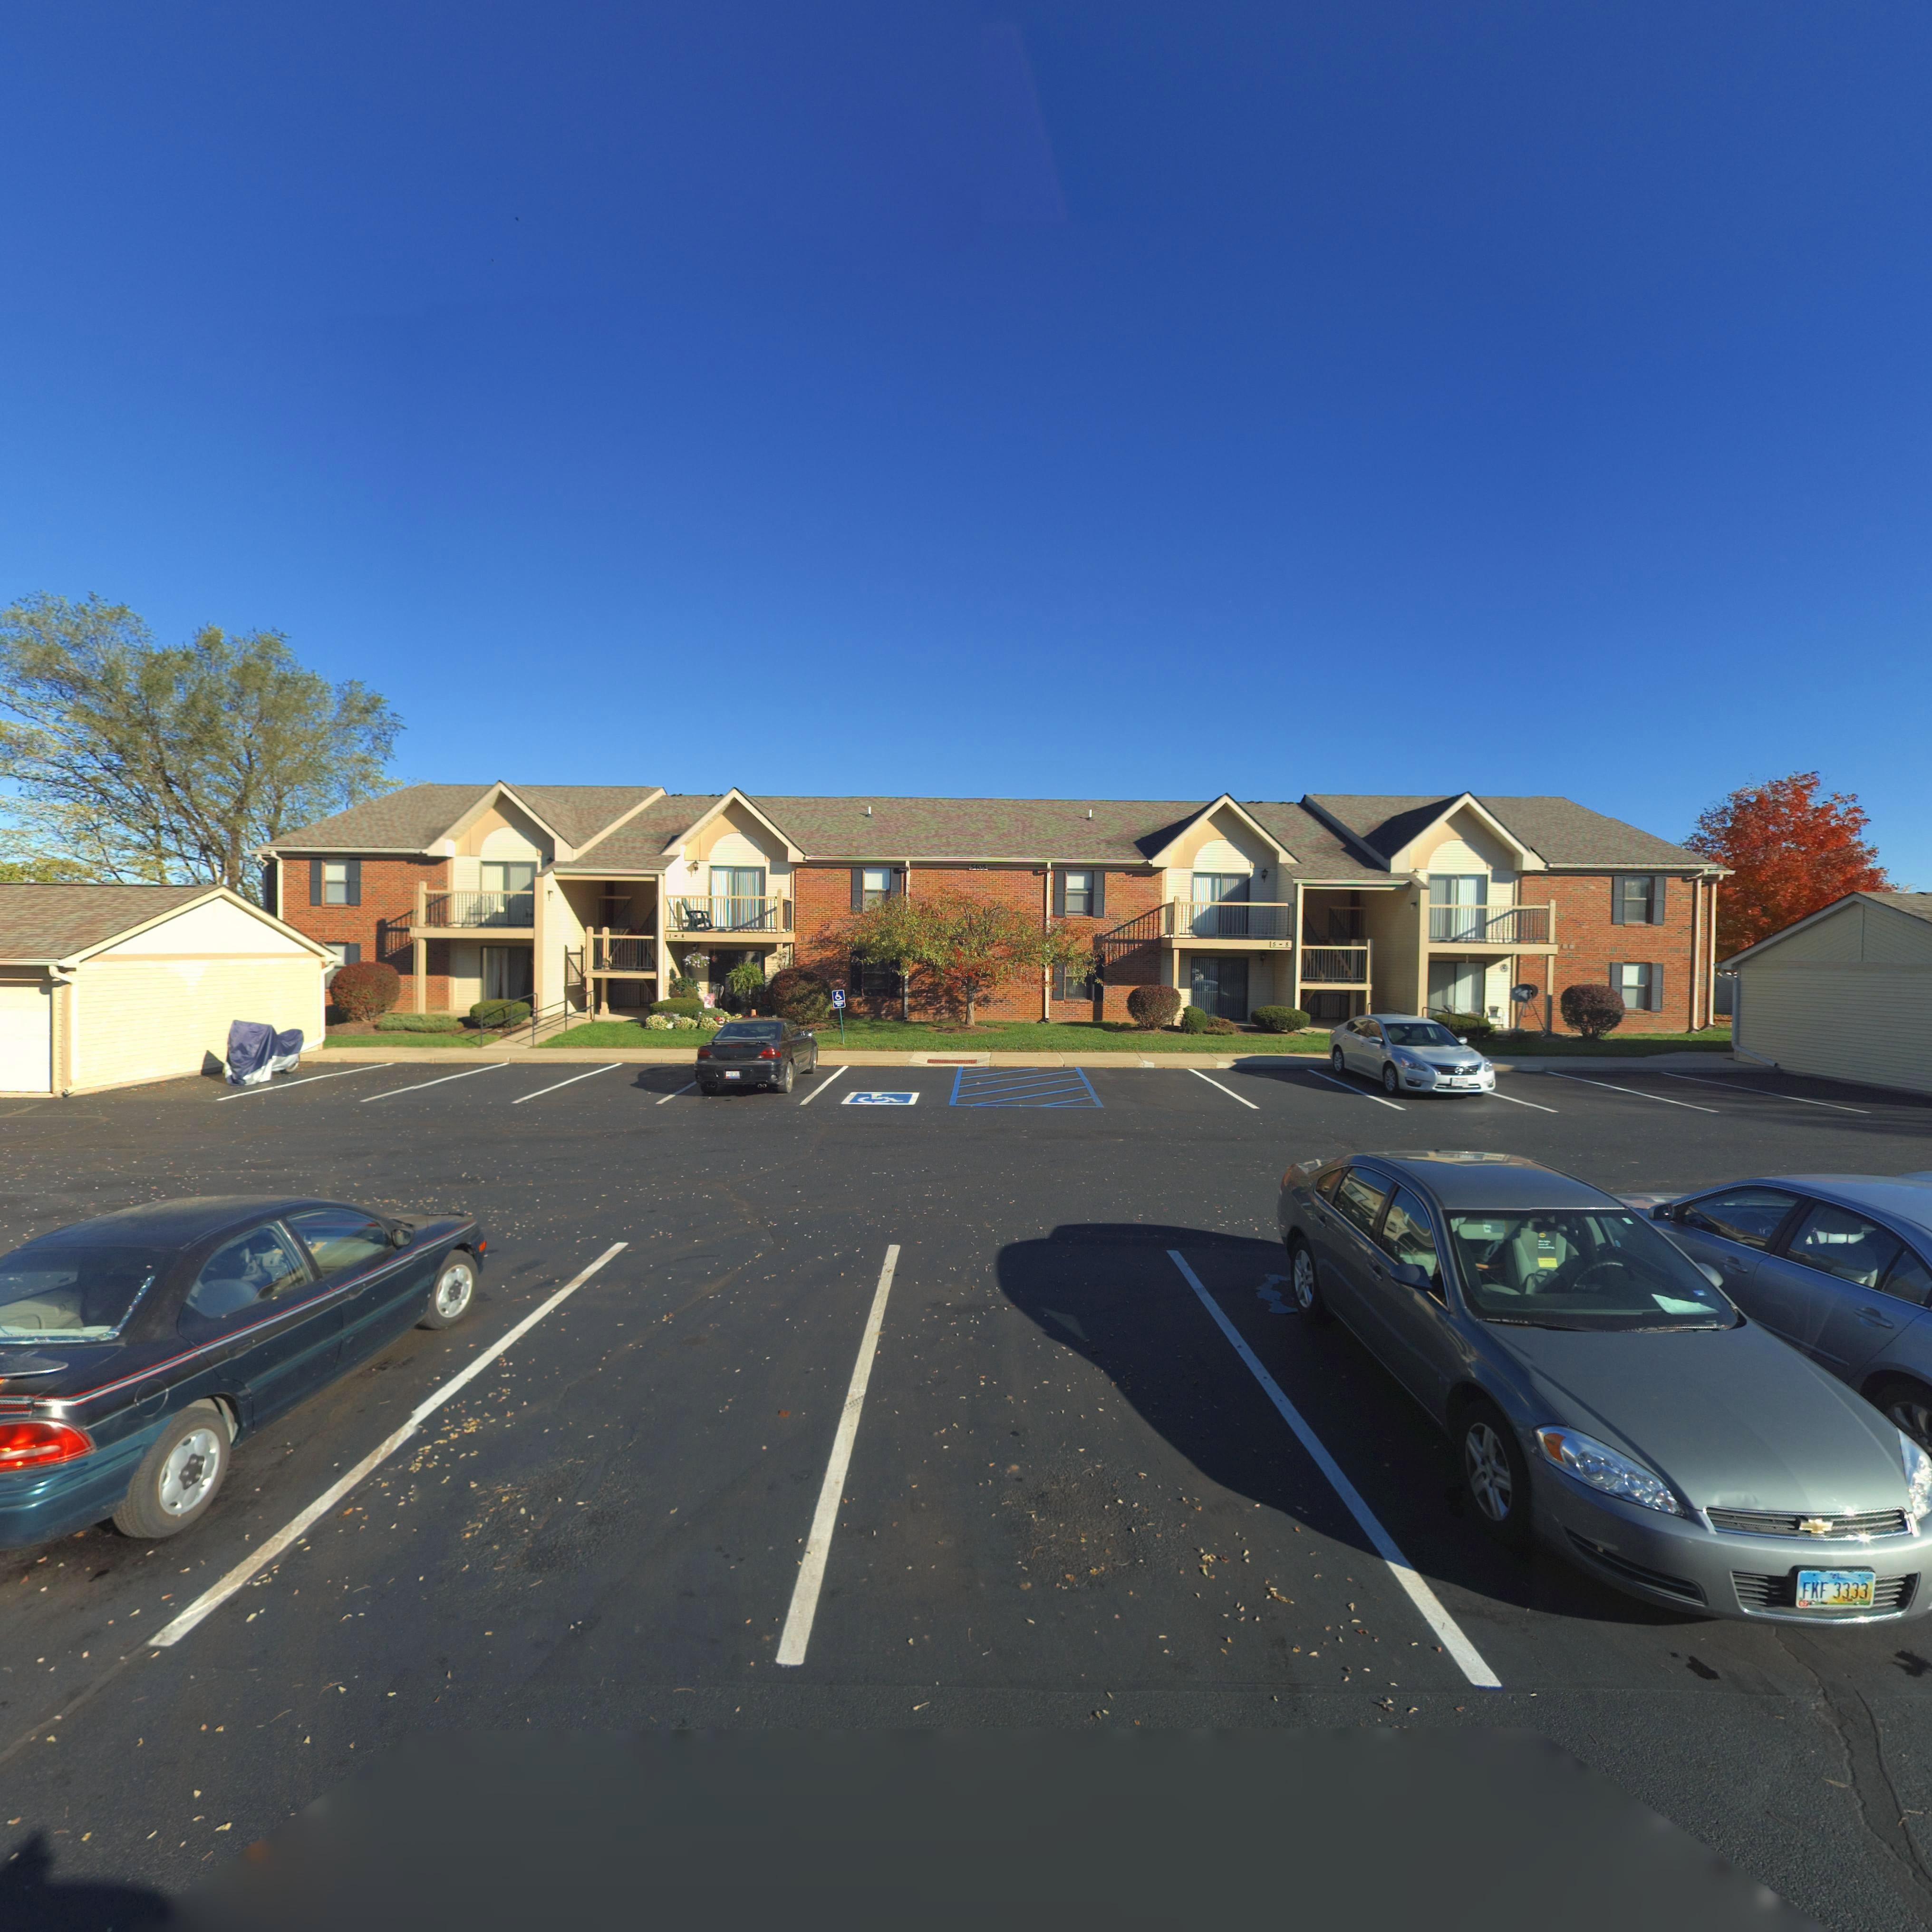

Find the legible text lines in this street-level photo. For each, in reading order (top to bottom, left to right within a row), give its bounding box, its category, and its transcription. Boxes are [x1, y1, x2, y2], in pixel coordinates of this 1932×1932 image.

[667, 933, 685, 938] StreetNumber: 1-4
[1272, 941, 1290, 947] StreetNumber: 5-8